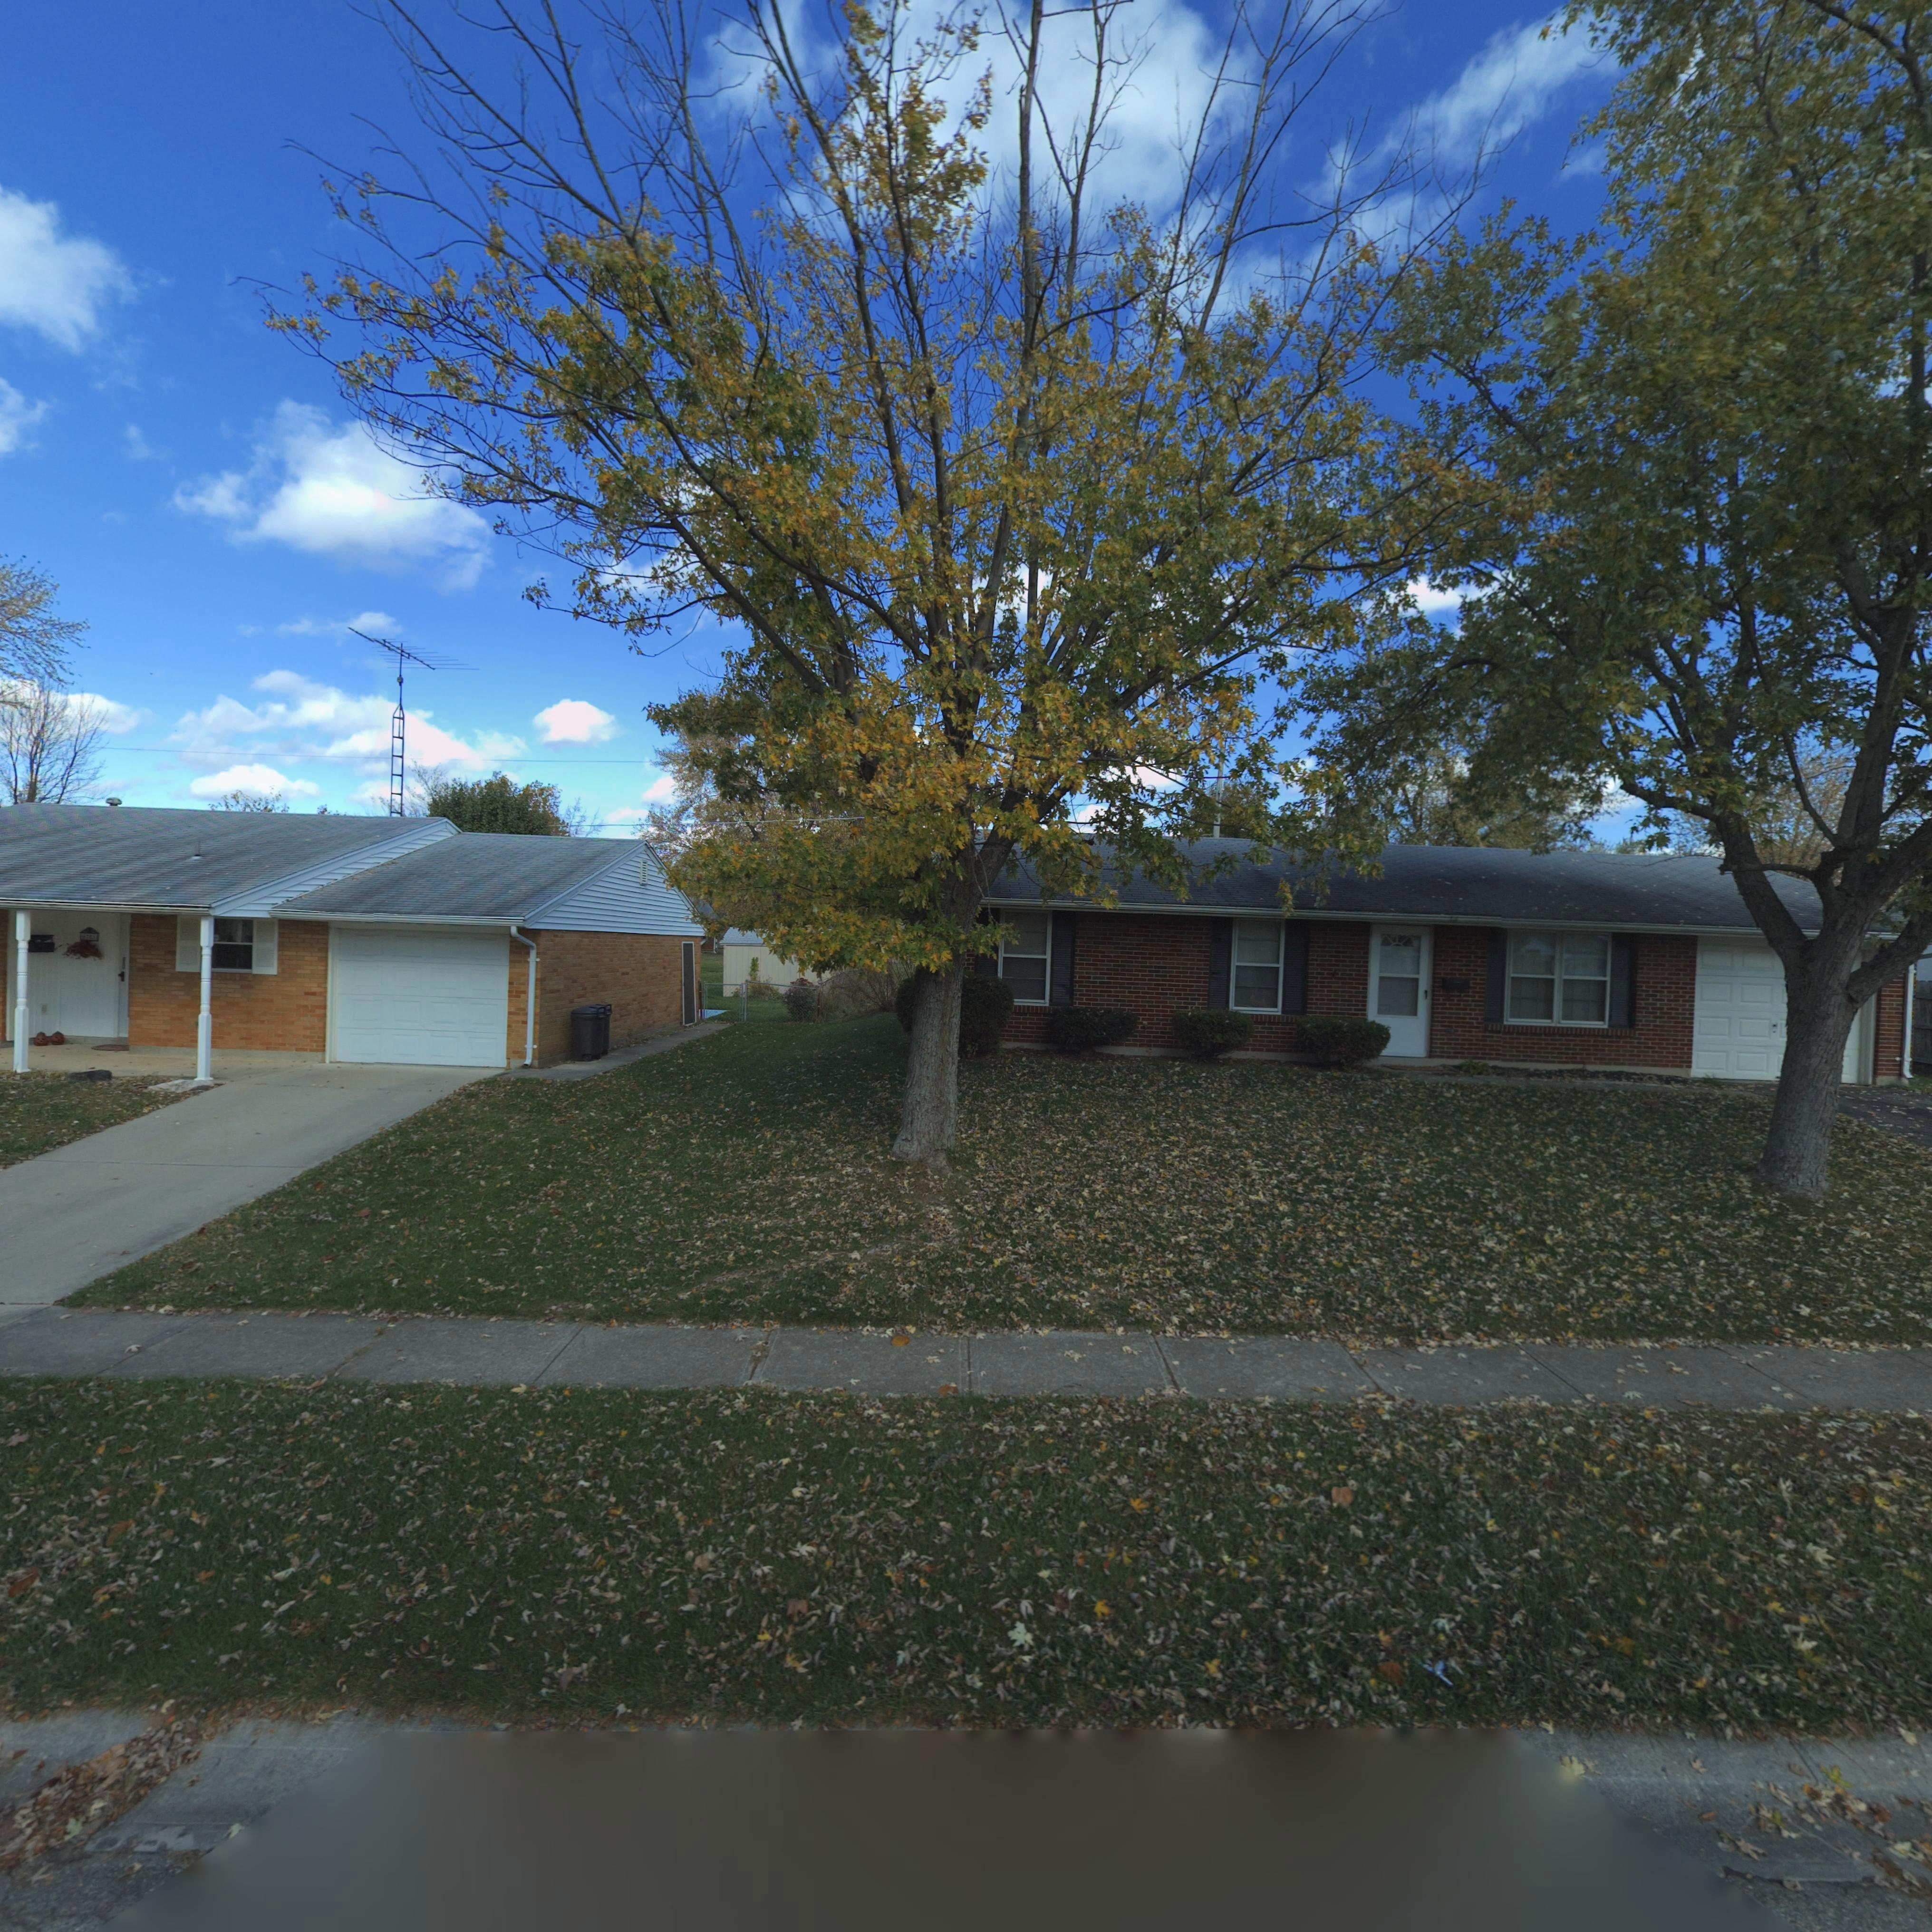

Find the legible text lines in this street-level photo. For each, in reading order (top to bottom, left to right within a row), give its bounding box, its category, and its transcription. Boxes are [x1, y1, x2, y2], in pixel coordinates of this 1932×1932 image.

[80, 934, 96, 941] StreetNumber: *781